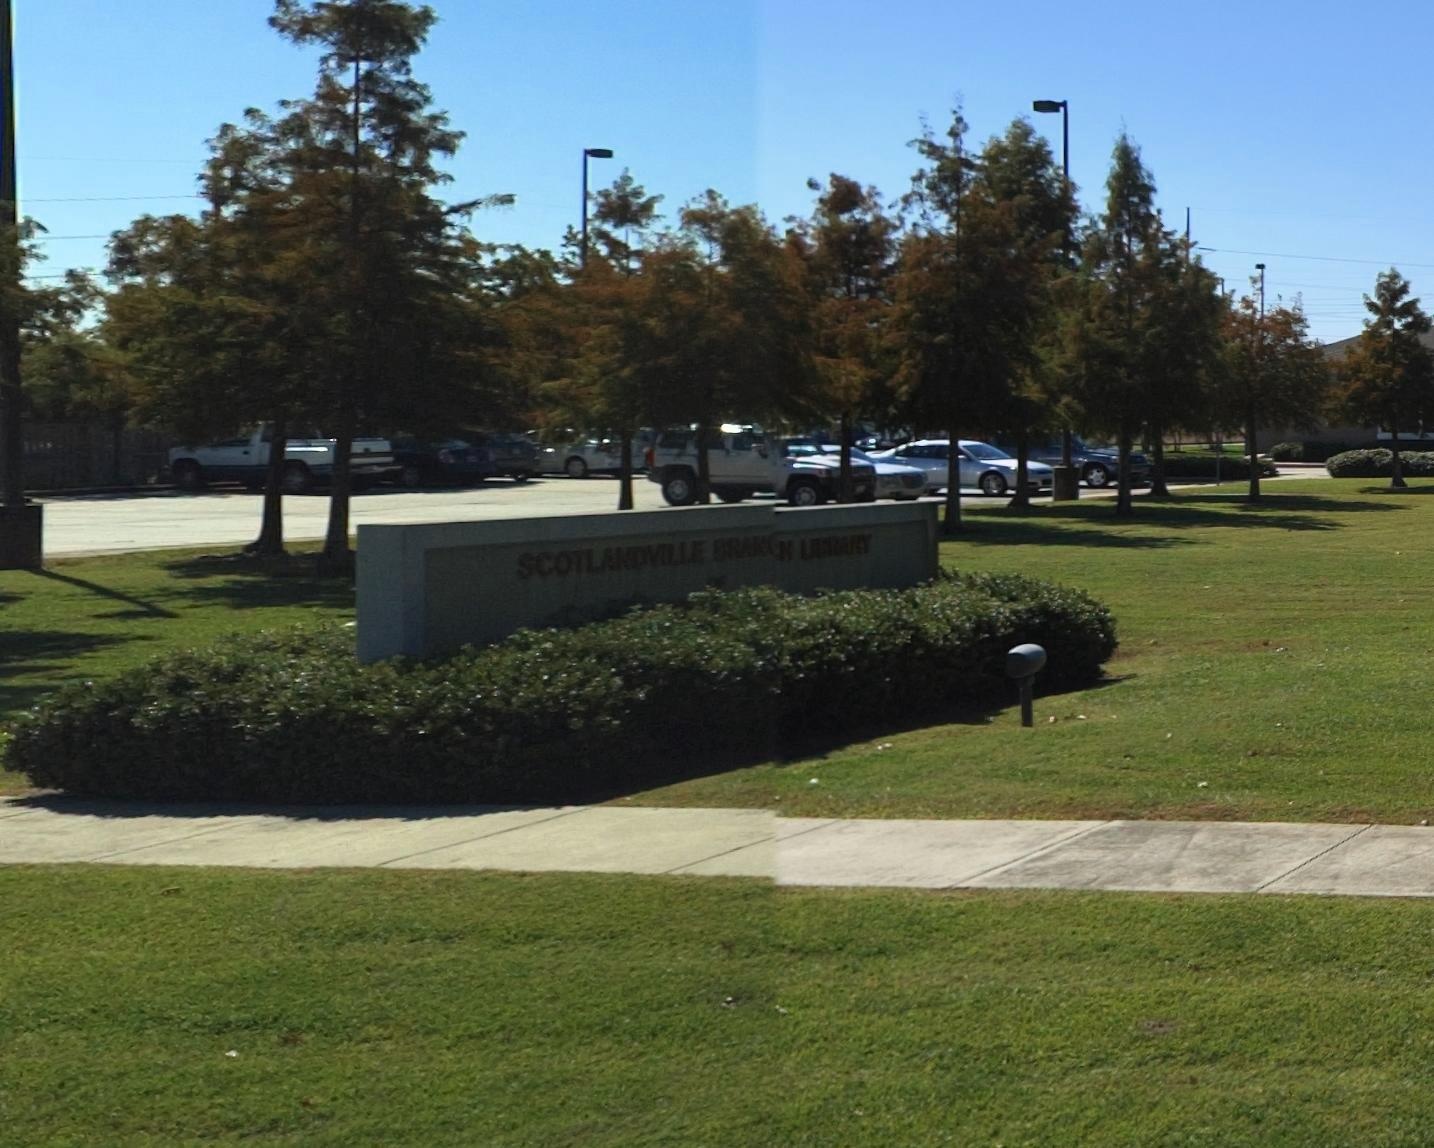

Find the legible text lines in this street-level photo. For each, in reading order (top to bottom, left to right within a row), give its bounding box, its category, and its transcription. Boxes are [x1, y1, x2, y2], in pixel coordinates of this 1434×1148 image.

[516, 531, 875, 582] BusinessName: SCOTLANDVILLE BRA**N LIBRARY